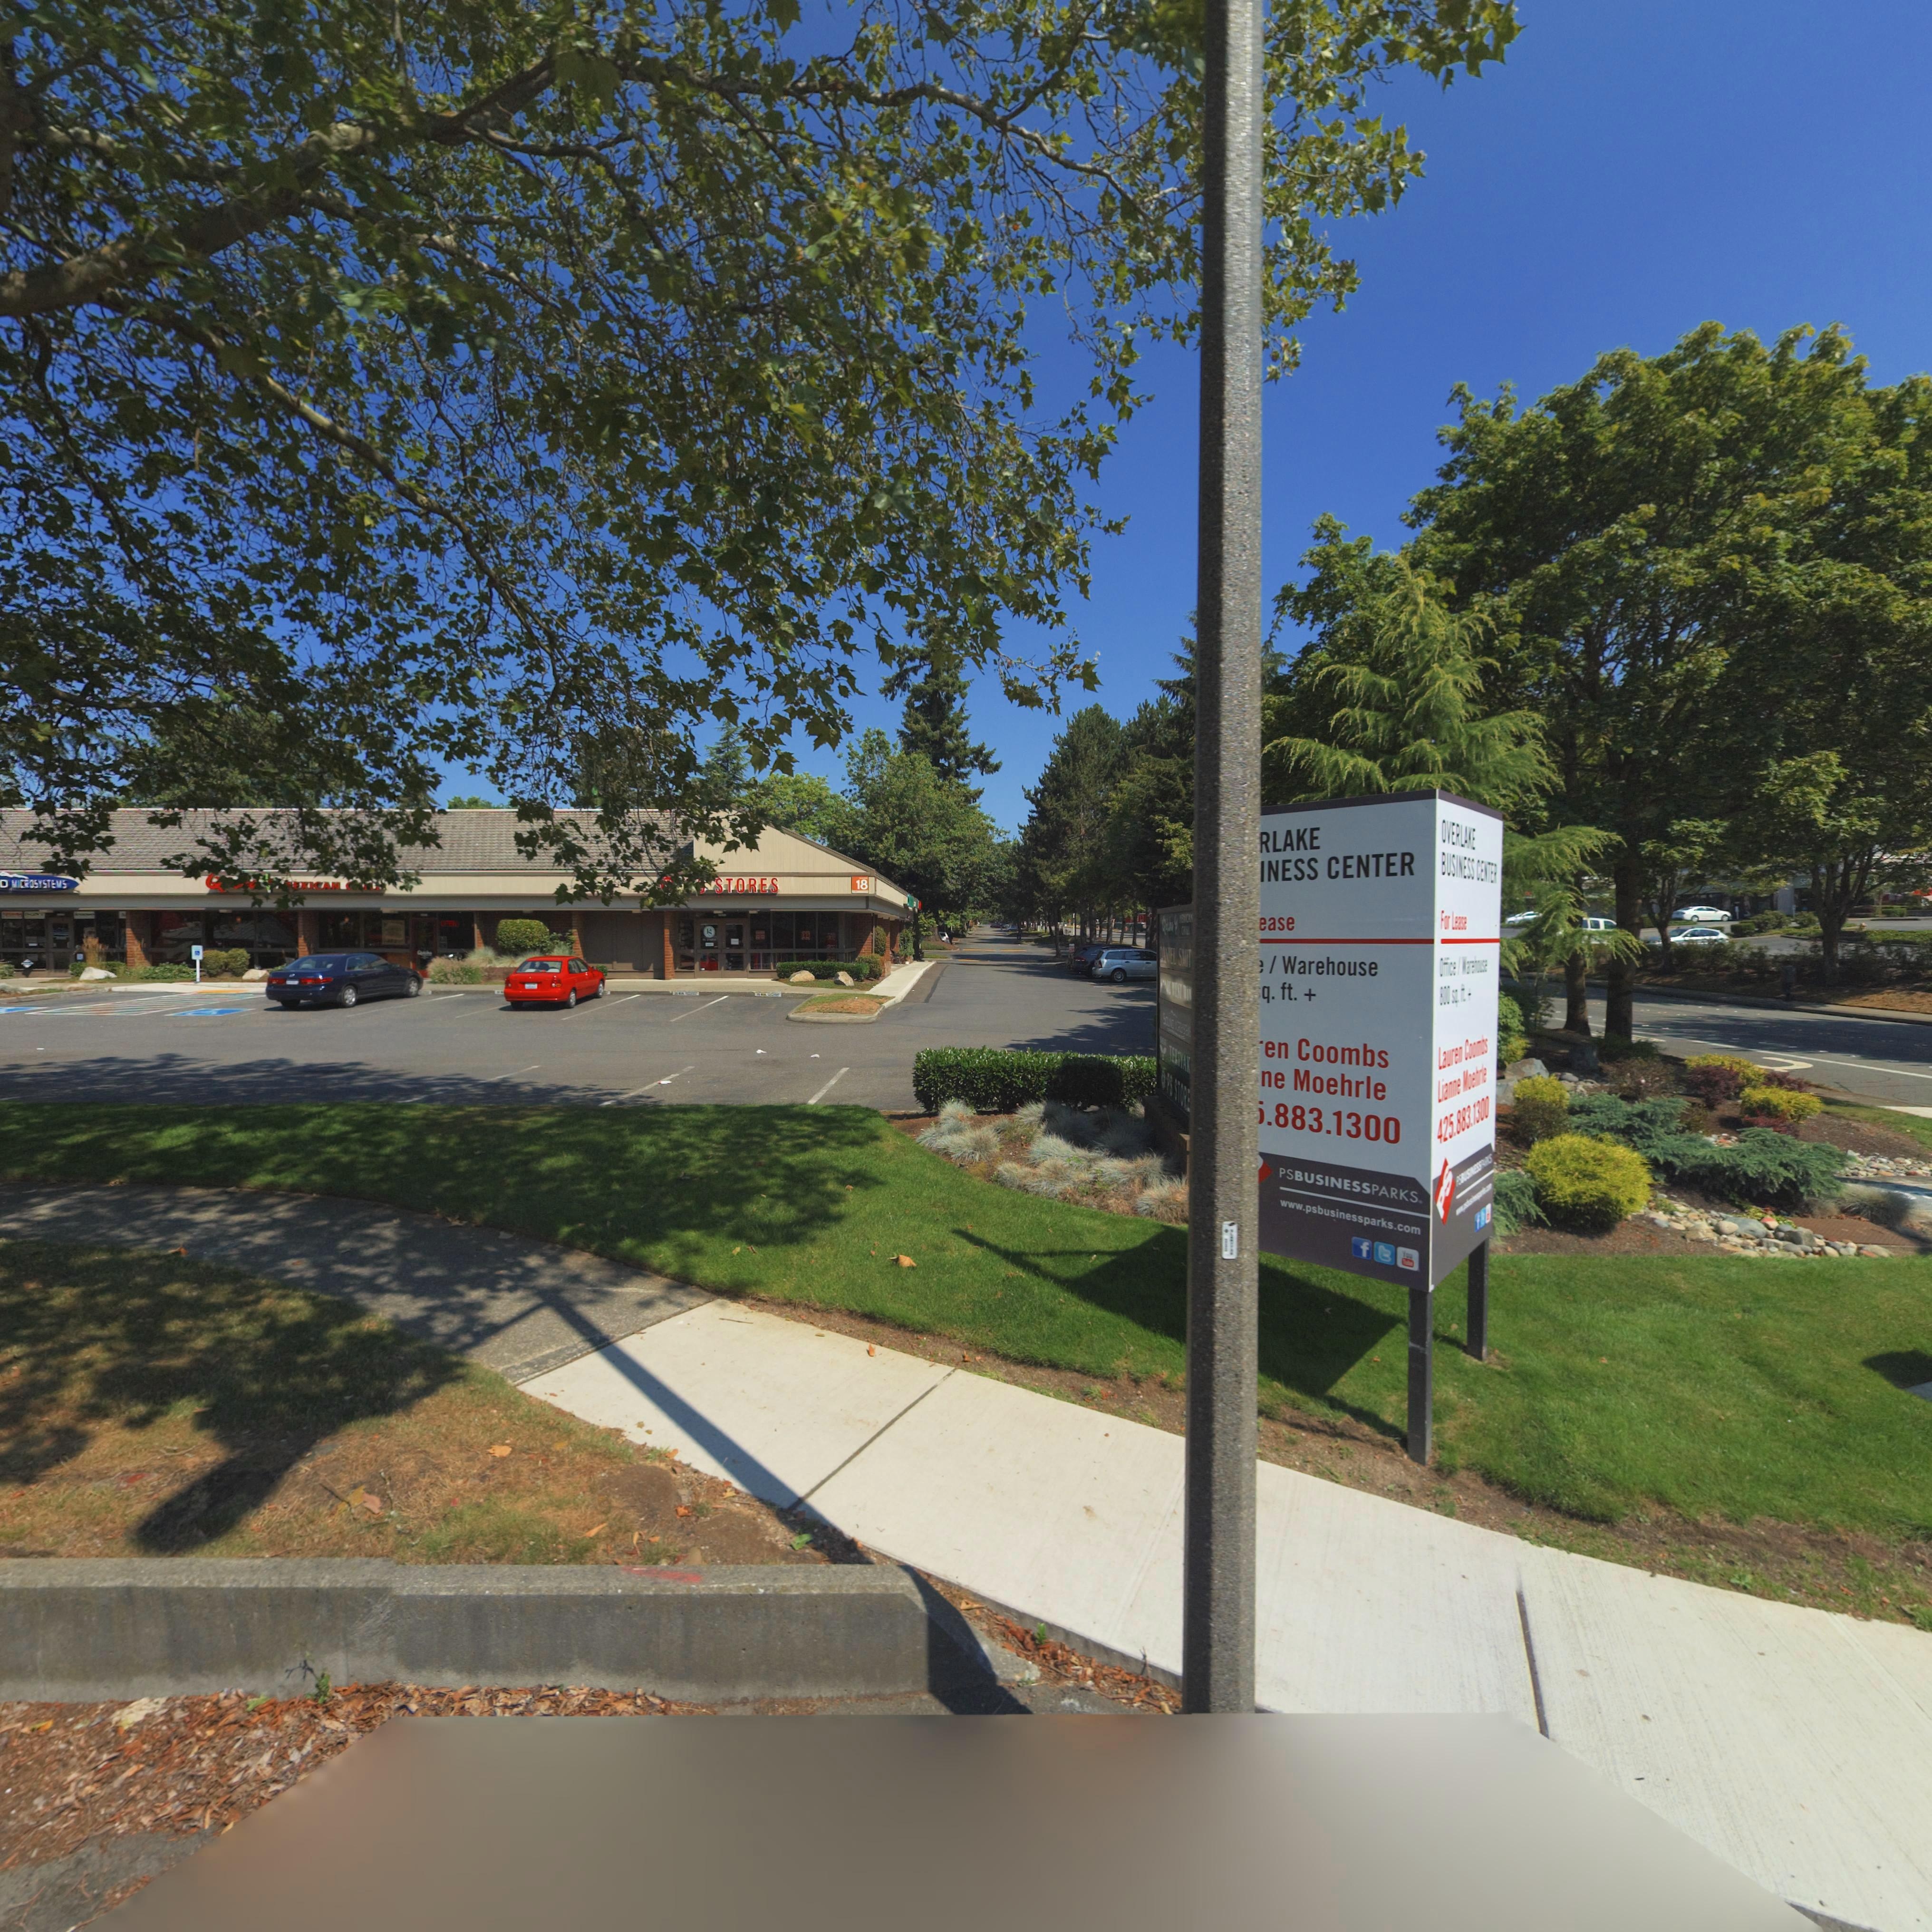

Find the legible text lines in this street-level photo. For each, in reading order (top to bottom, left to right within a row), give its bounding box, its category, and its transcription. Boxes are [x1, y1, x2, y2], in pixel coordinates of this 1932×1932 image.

[1259, 827, 1321, 852] BusinessName: RLAKE
[716, 878, 777, 892] BusinessName: STORES